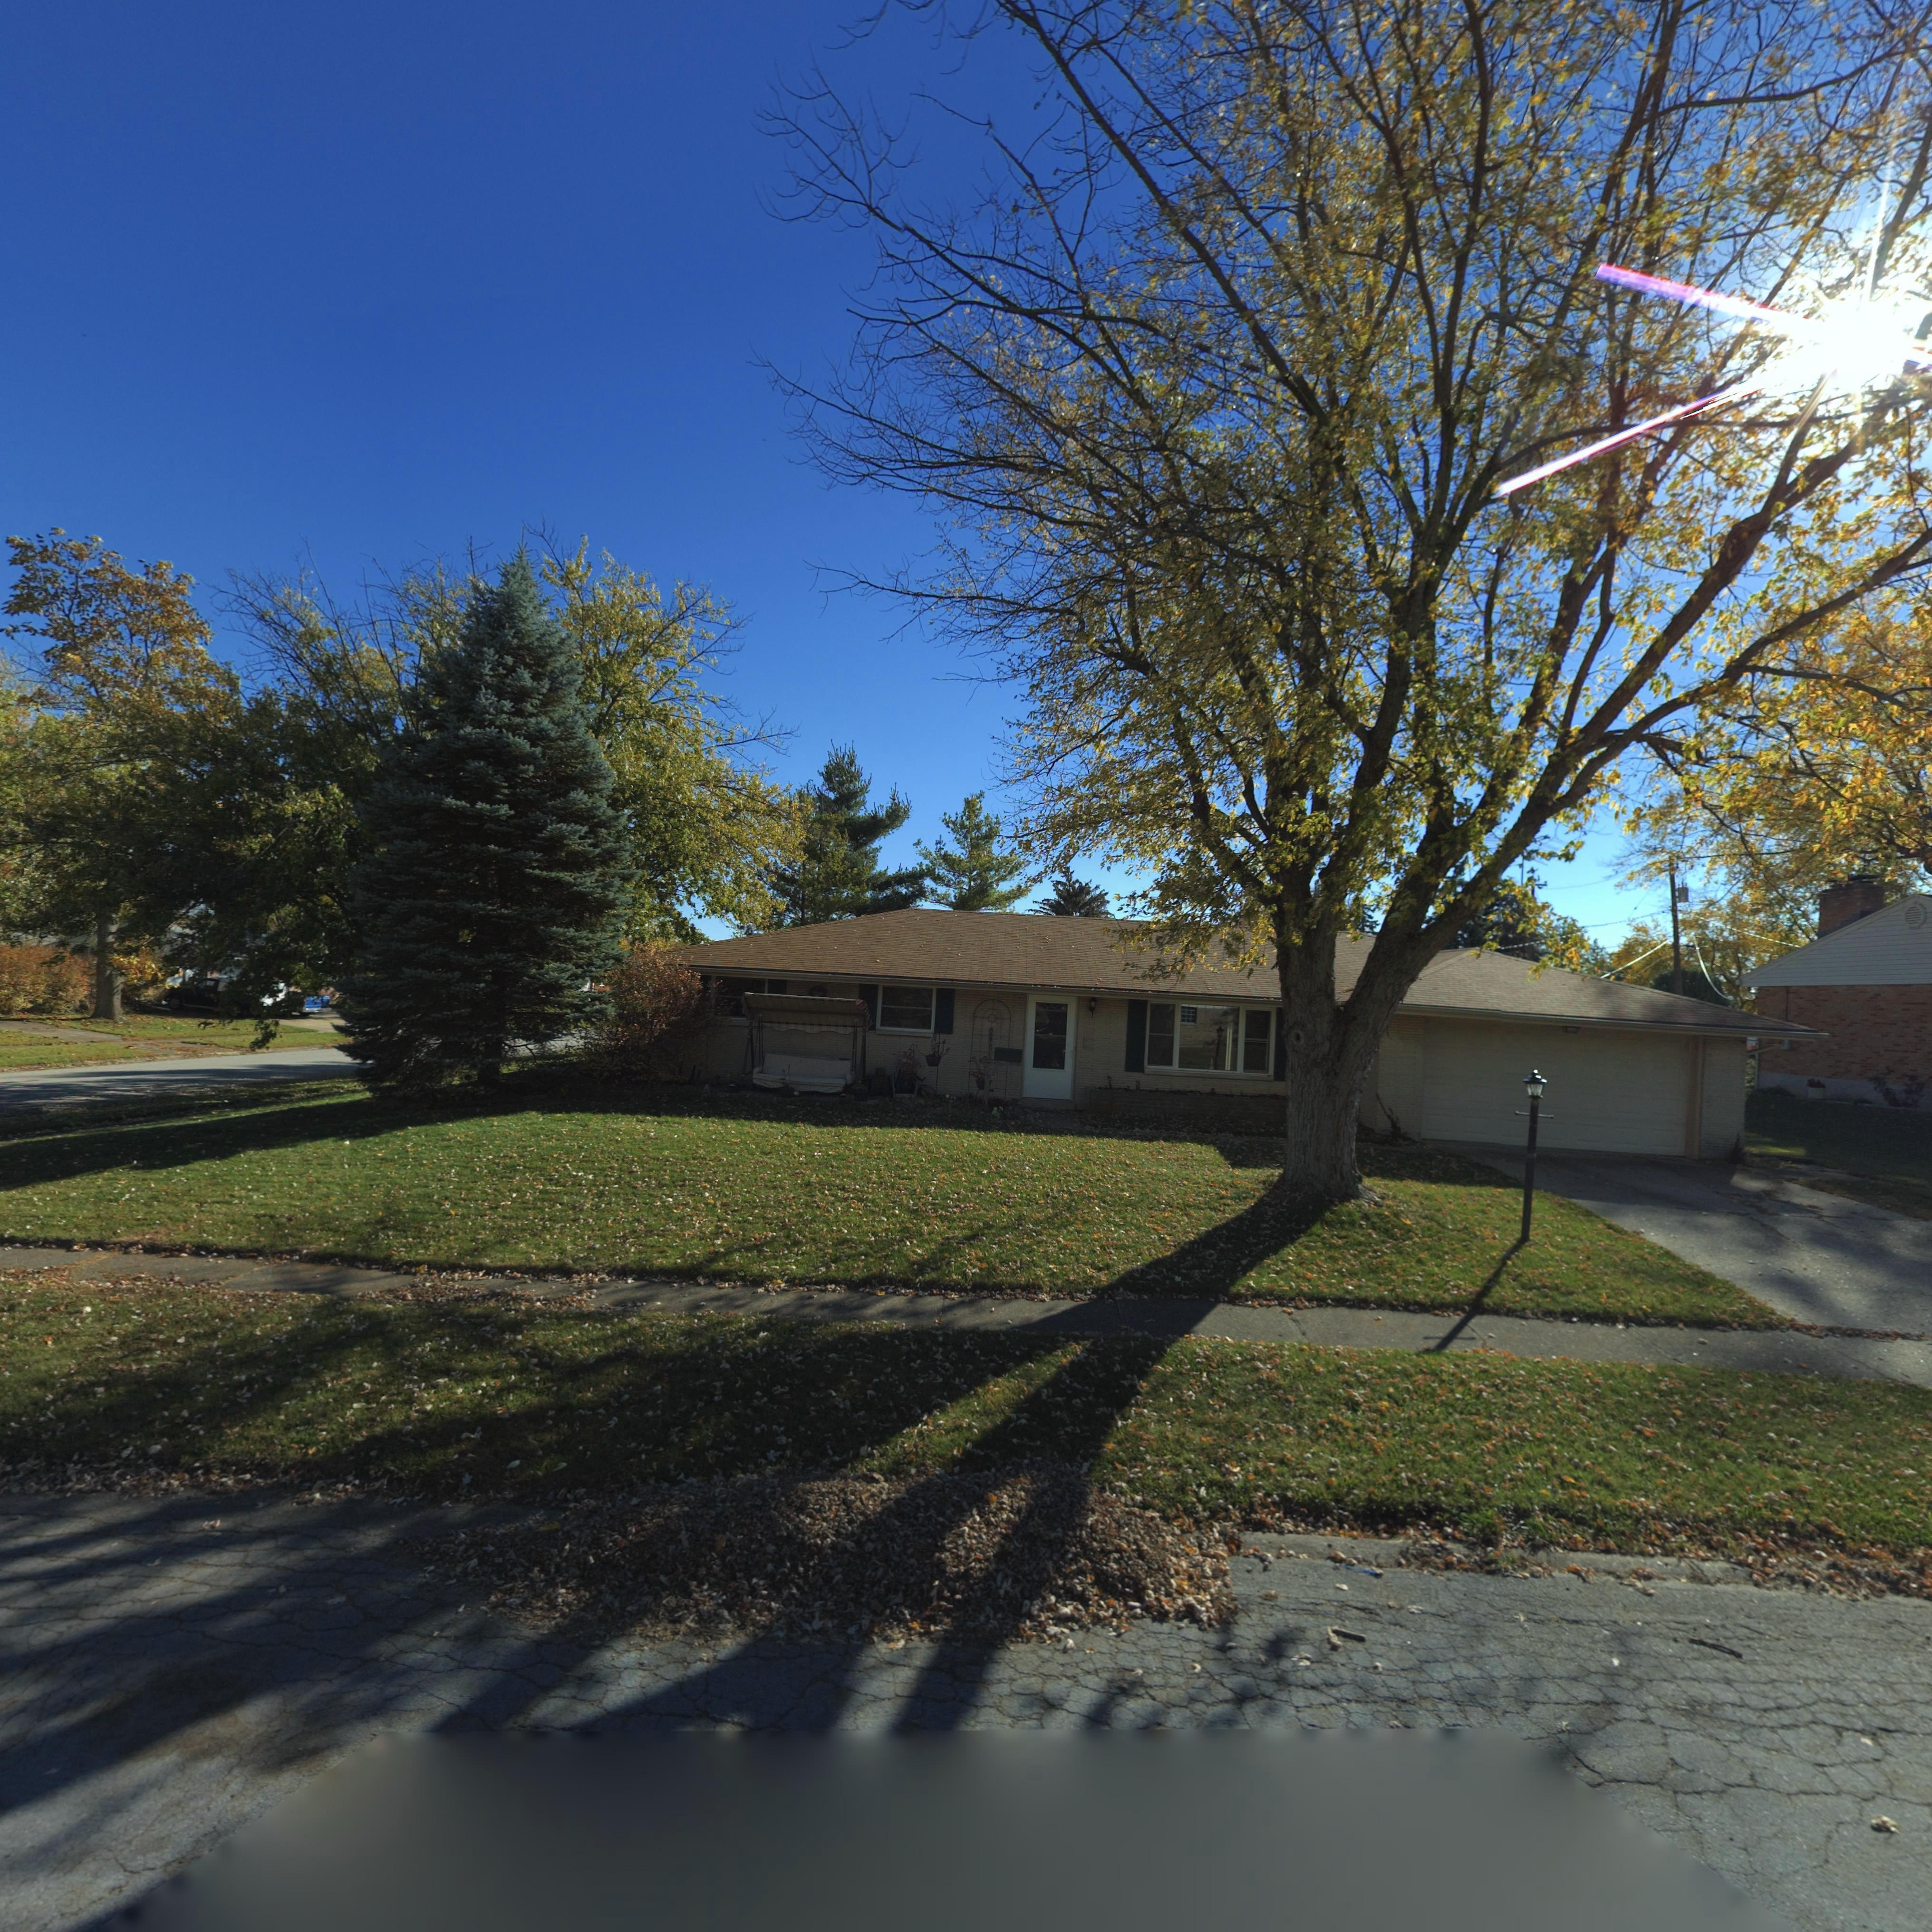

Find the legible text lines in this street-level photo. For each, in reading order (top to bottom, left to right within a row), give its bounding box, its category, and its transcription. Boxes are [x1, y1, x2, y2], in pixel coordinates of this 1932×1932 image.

[987, 1030, 994, 1058] StreetNumber: 6901